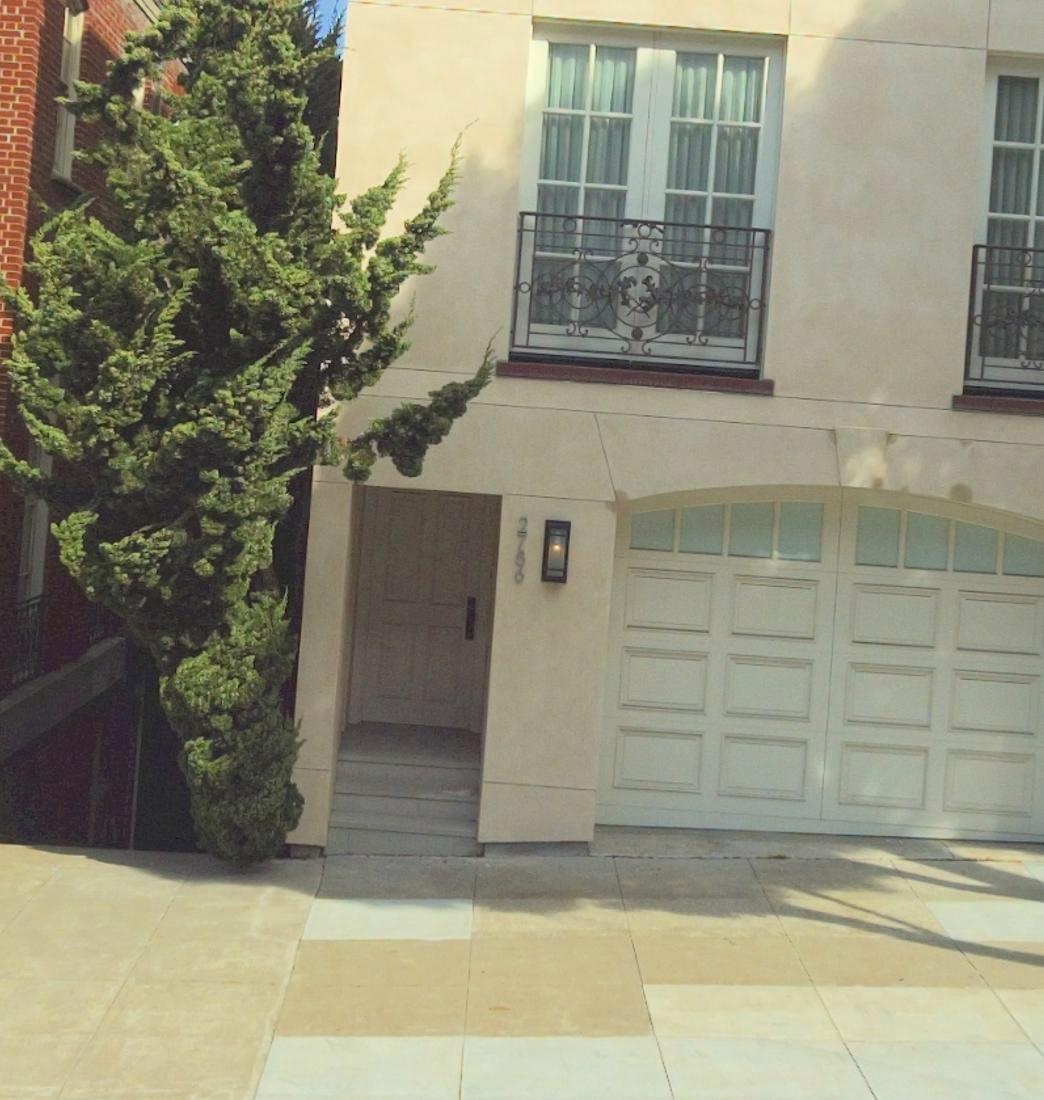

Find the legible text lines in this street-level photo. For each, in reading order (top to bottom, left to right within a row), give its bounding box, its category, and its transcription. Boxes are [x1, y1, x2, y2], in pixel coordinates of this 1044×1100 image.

[511, 514, 531, 587] StreetNumber: 2786